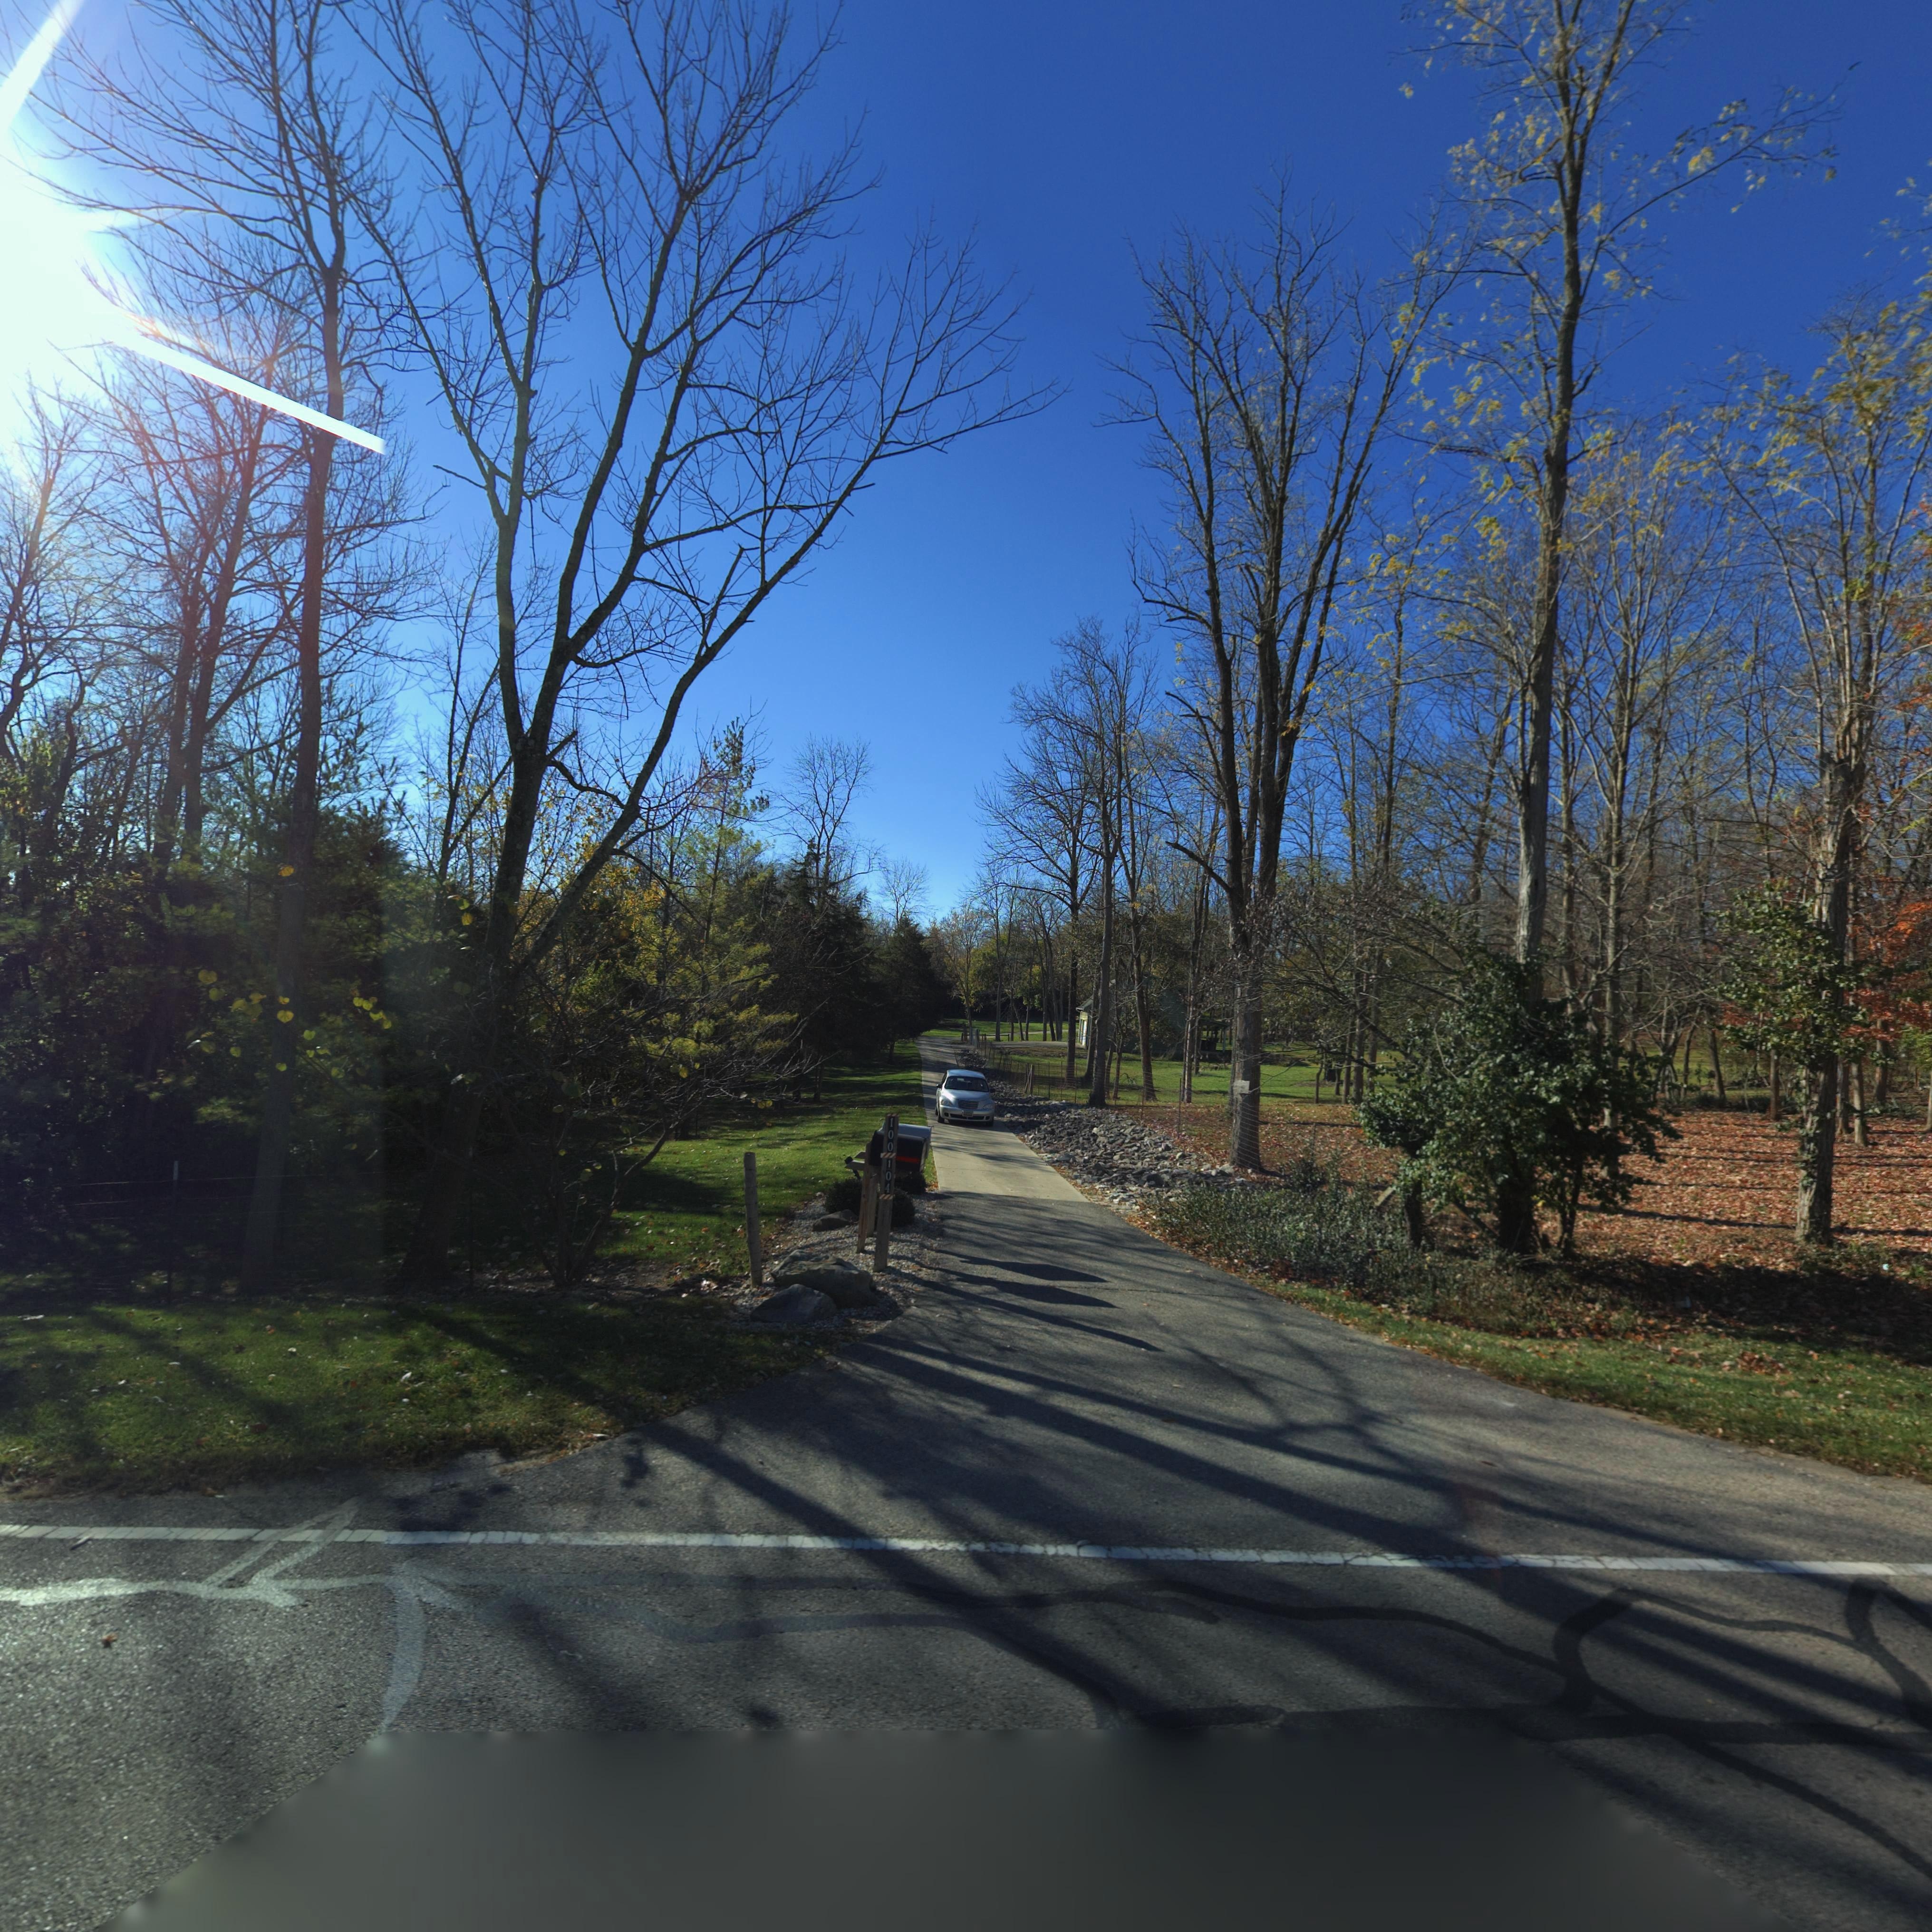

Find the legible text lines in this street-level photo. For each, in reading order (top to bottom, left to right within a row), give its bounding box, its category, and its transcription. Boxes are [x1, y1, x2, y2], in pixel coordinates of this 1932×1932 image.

[887, 1117, 895, 1152] StreetNumber: 100
[884, 1159, 892, 1193] StreetNumber: 104